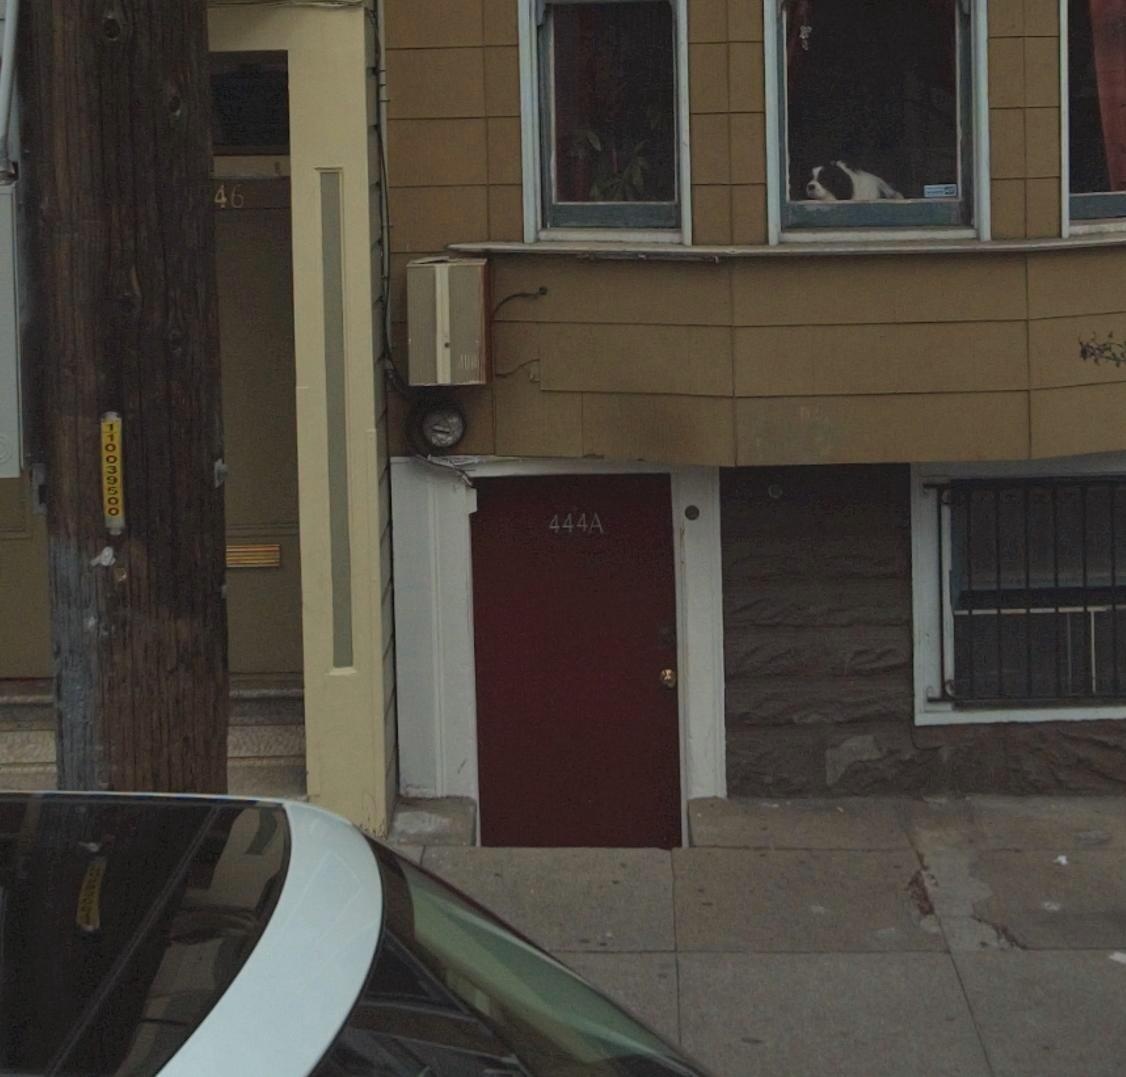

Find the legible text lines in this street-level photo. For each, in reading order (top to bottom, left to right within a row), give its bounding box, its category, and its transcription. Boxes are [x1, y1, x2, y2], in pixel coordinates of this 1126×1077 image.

[210, 179, 249, 212] StreetNumber: 46
[100, 420, 122, 519] None: 110039500
[546, 510, 606, 536] StreetNumber: 444A